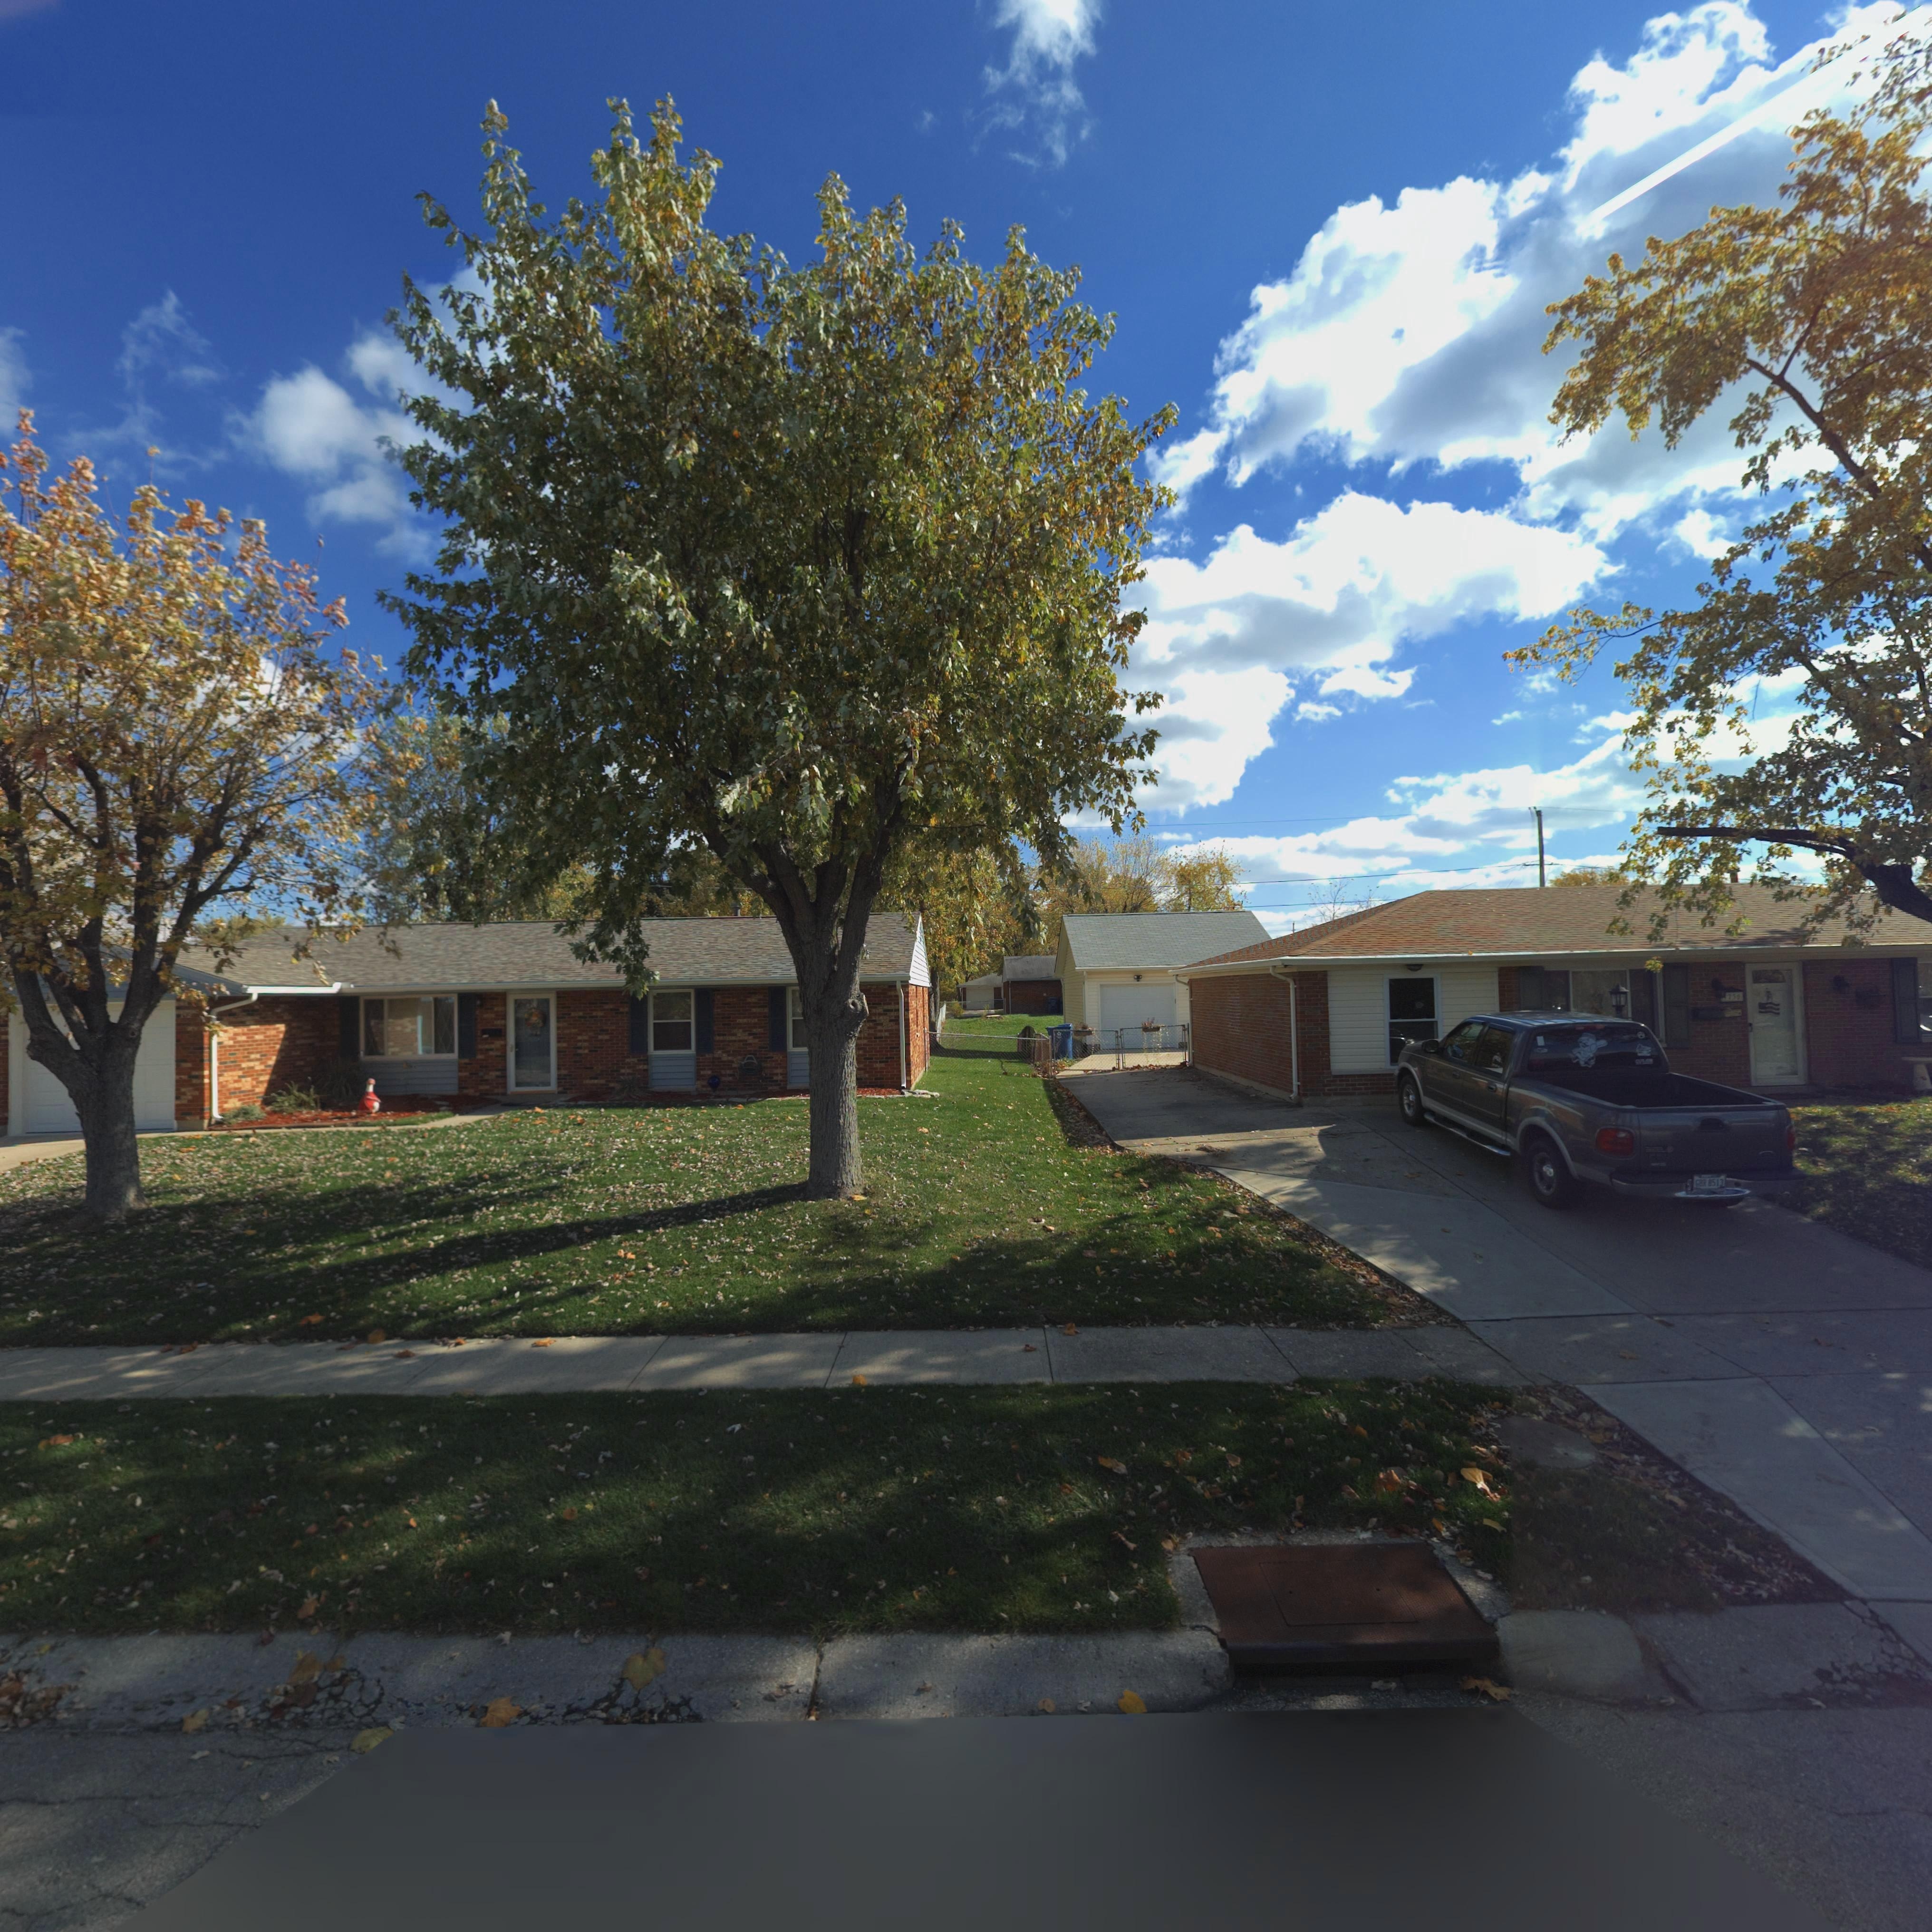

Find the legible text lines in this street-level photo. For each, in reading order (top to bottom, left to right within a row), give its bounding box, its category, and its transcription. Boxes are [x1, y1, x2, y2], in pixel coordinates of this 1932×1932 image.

[1727, 993, 1741, 1001] StreetNumber: 730